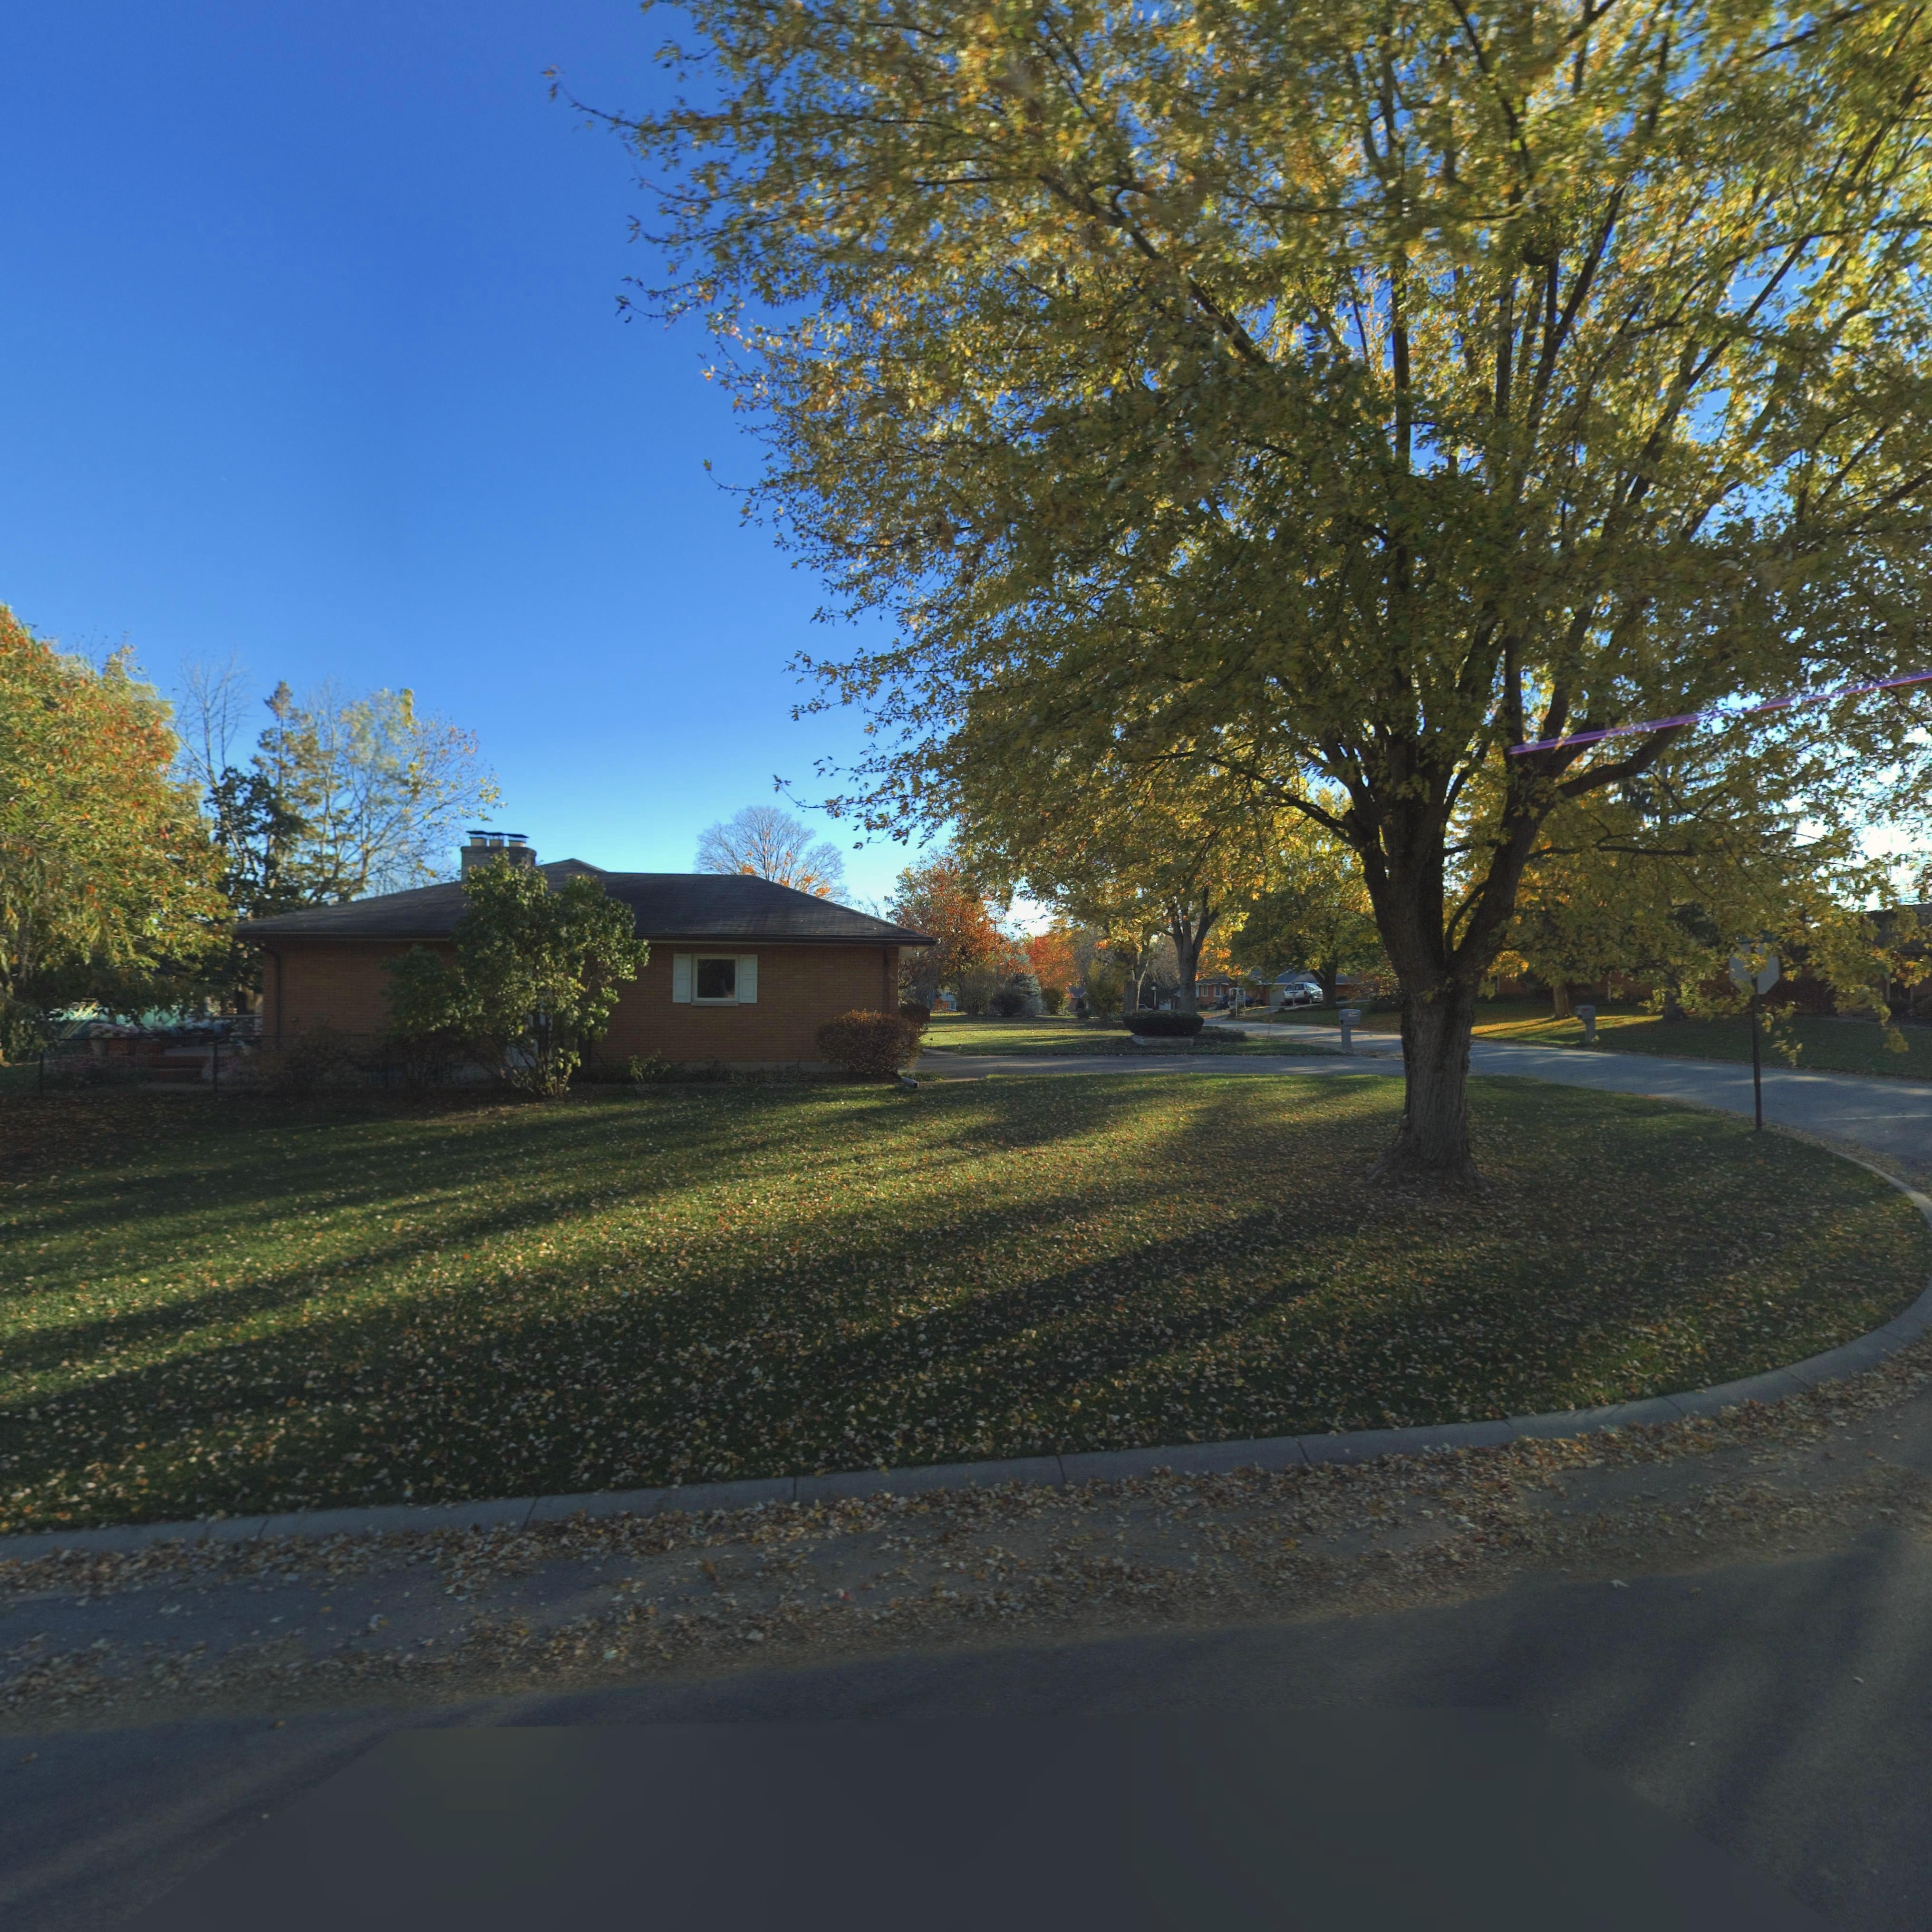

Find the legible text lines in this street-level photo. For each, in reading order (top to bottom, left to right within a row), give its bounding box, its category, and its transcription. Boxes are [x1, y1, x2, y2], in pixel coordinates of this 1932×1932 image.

[1348, 1012, 1358, 1016] StreetNumber: 7*40